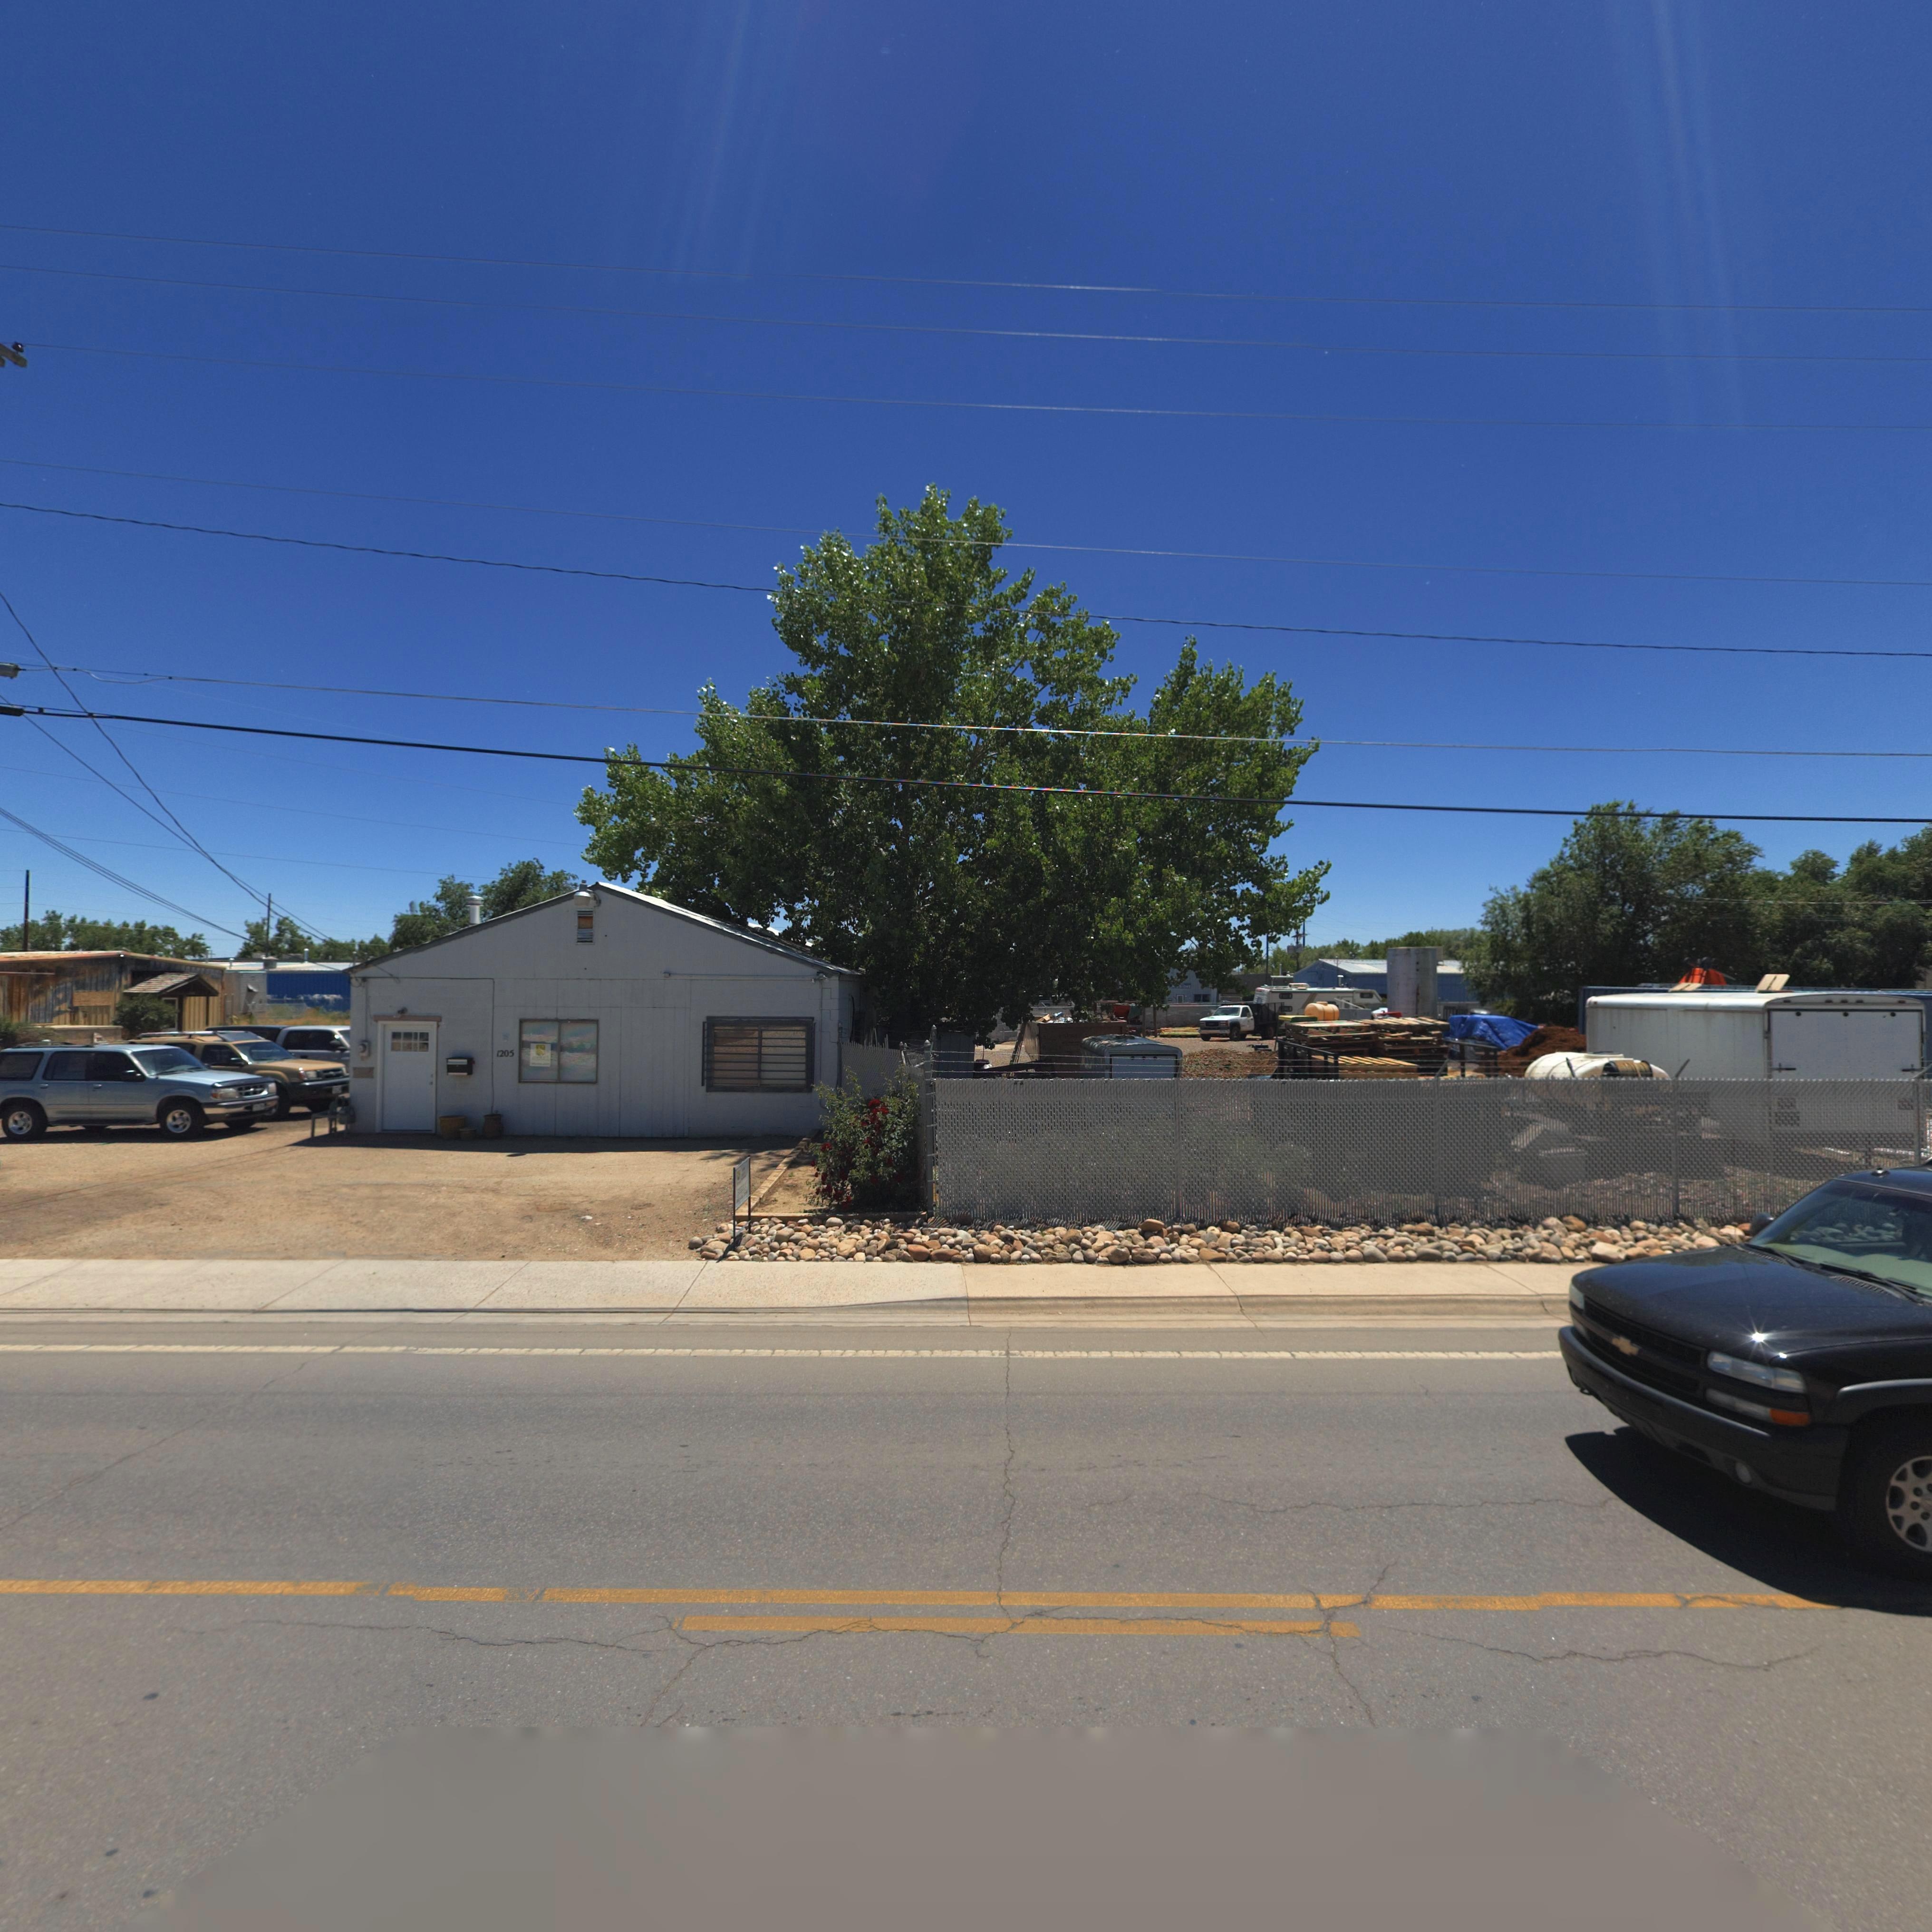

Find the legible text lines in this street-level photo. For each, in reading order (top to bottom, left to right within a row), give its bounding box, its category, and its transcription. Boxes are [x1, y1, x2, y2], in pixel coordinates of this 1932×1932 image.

[496, 1049, 514, 1057] StreetNumber: 1205